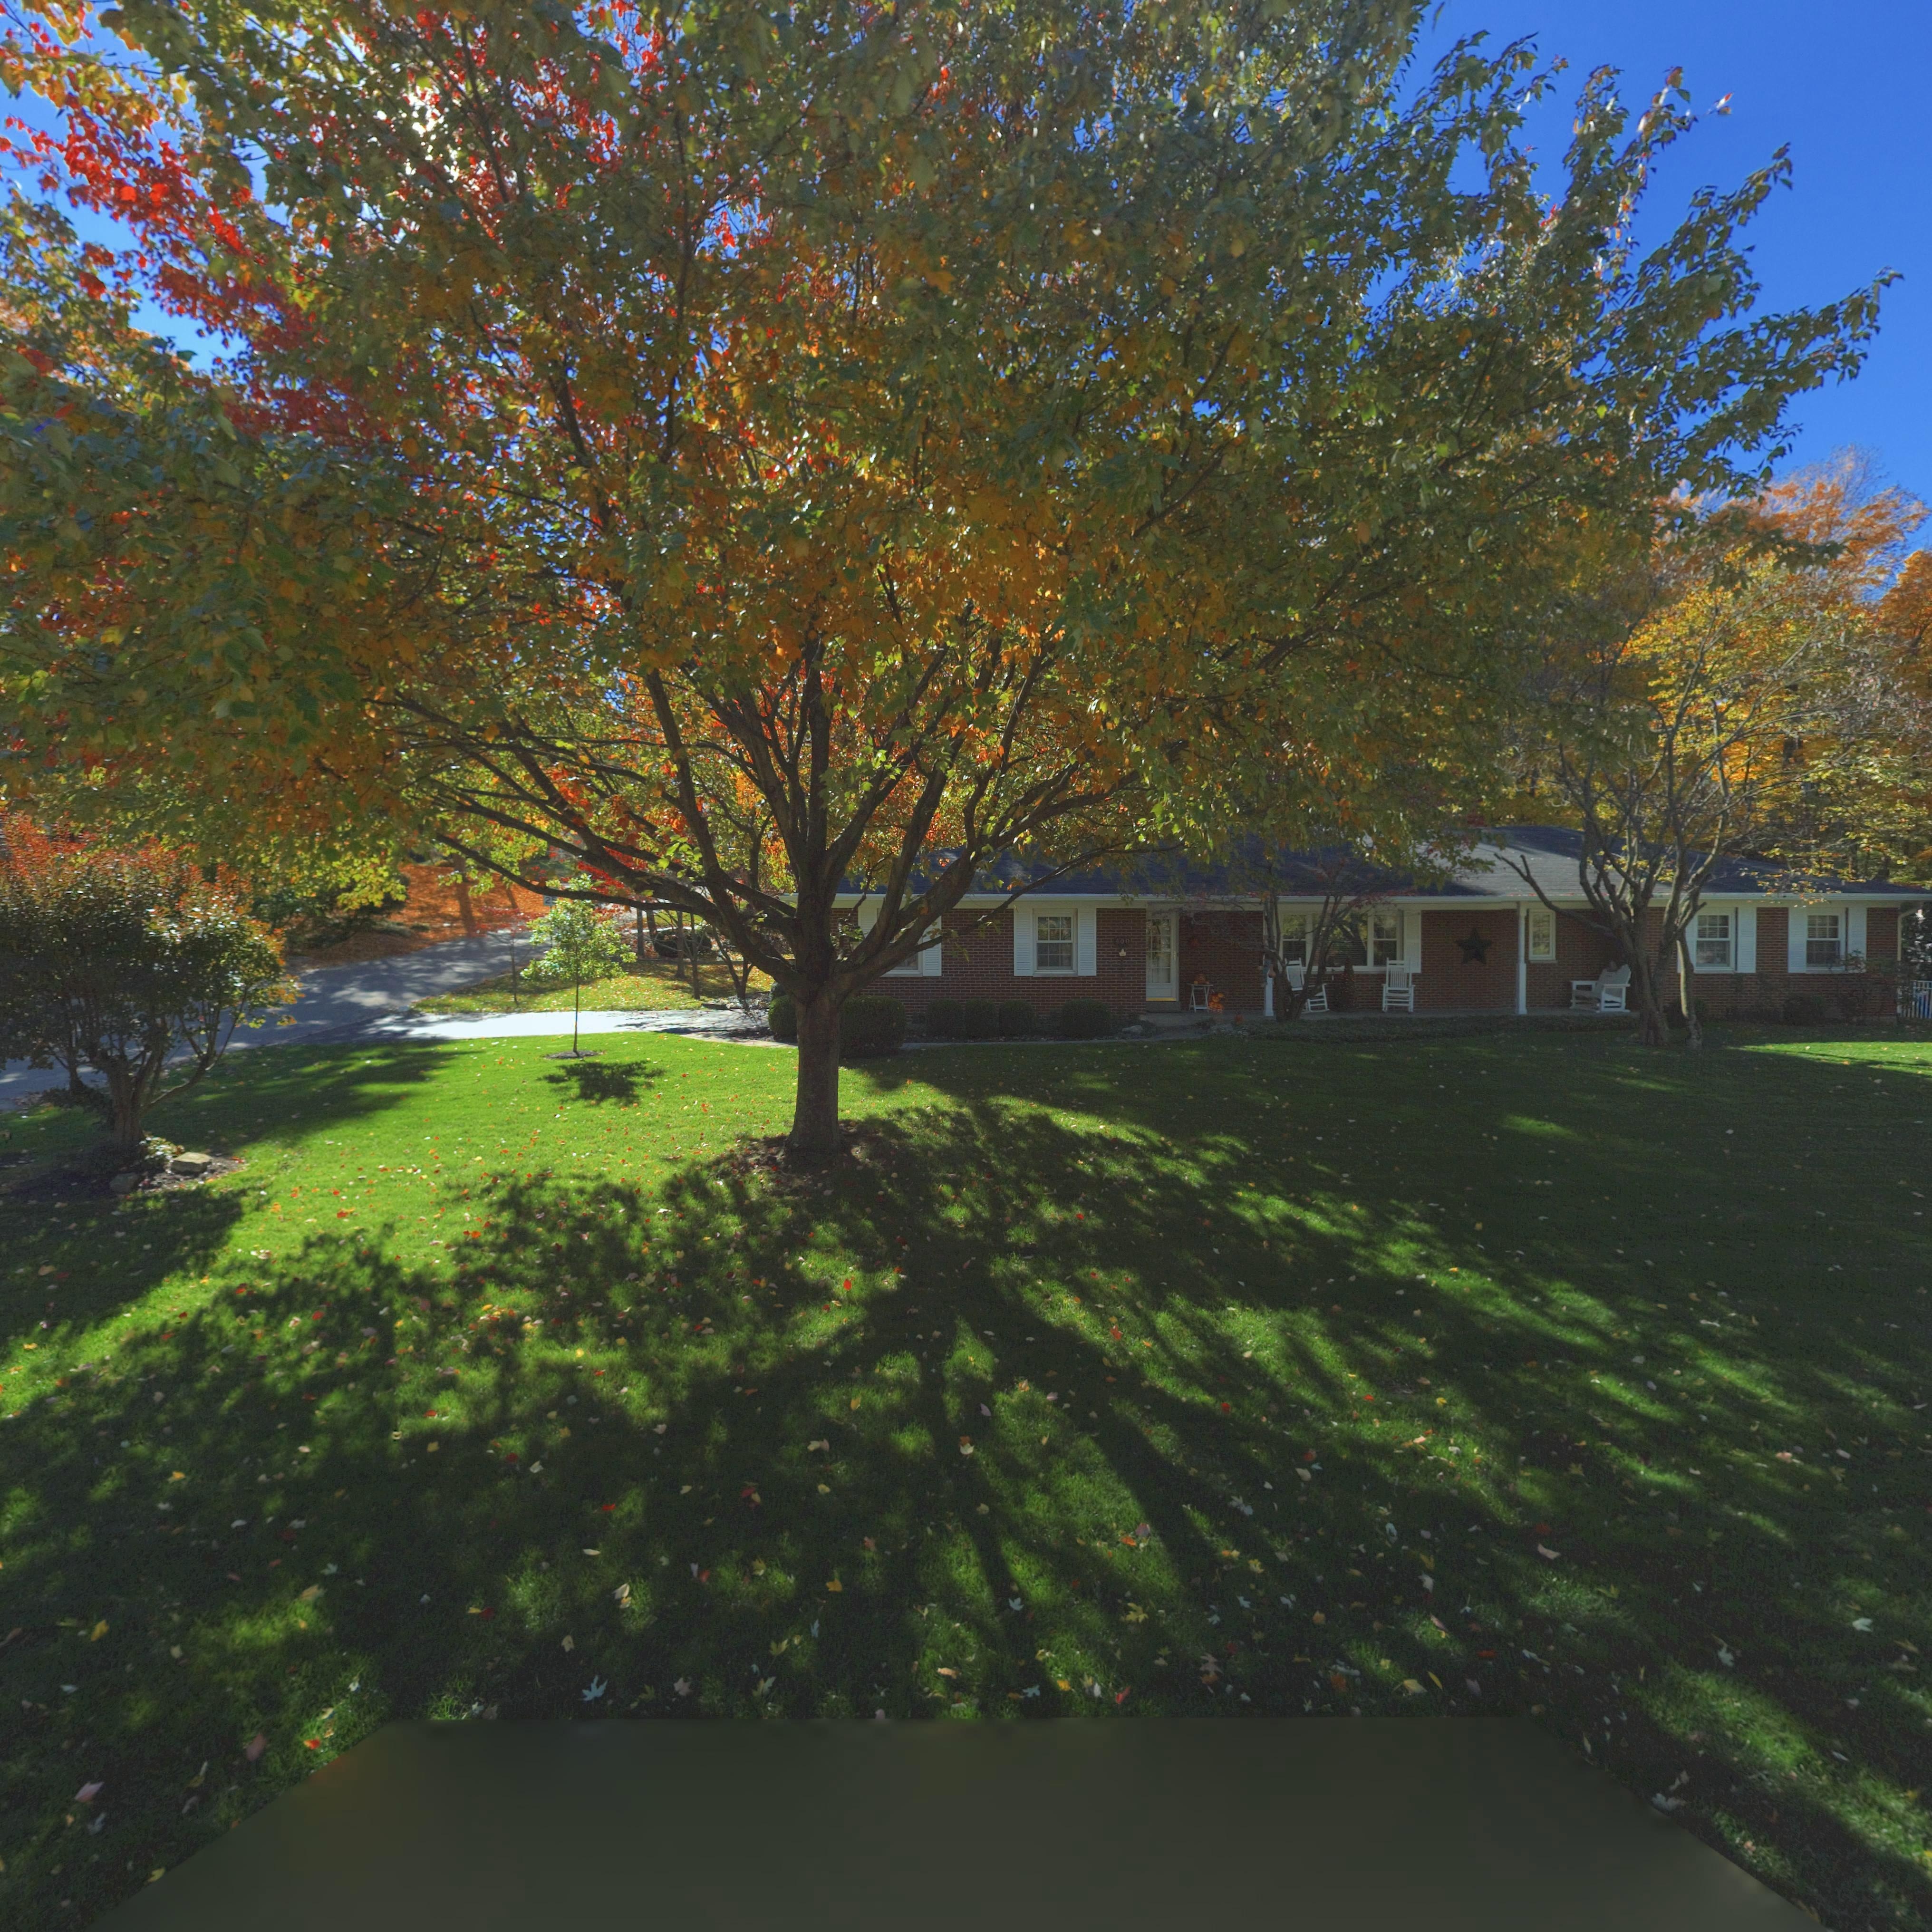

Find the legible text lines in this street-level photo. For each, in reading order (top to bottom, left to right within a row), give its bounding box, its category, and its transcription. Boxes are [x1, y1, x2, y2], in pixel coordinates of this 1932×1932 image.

[1114, 937, 1130, 945] StreetNumber: 400